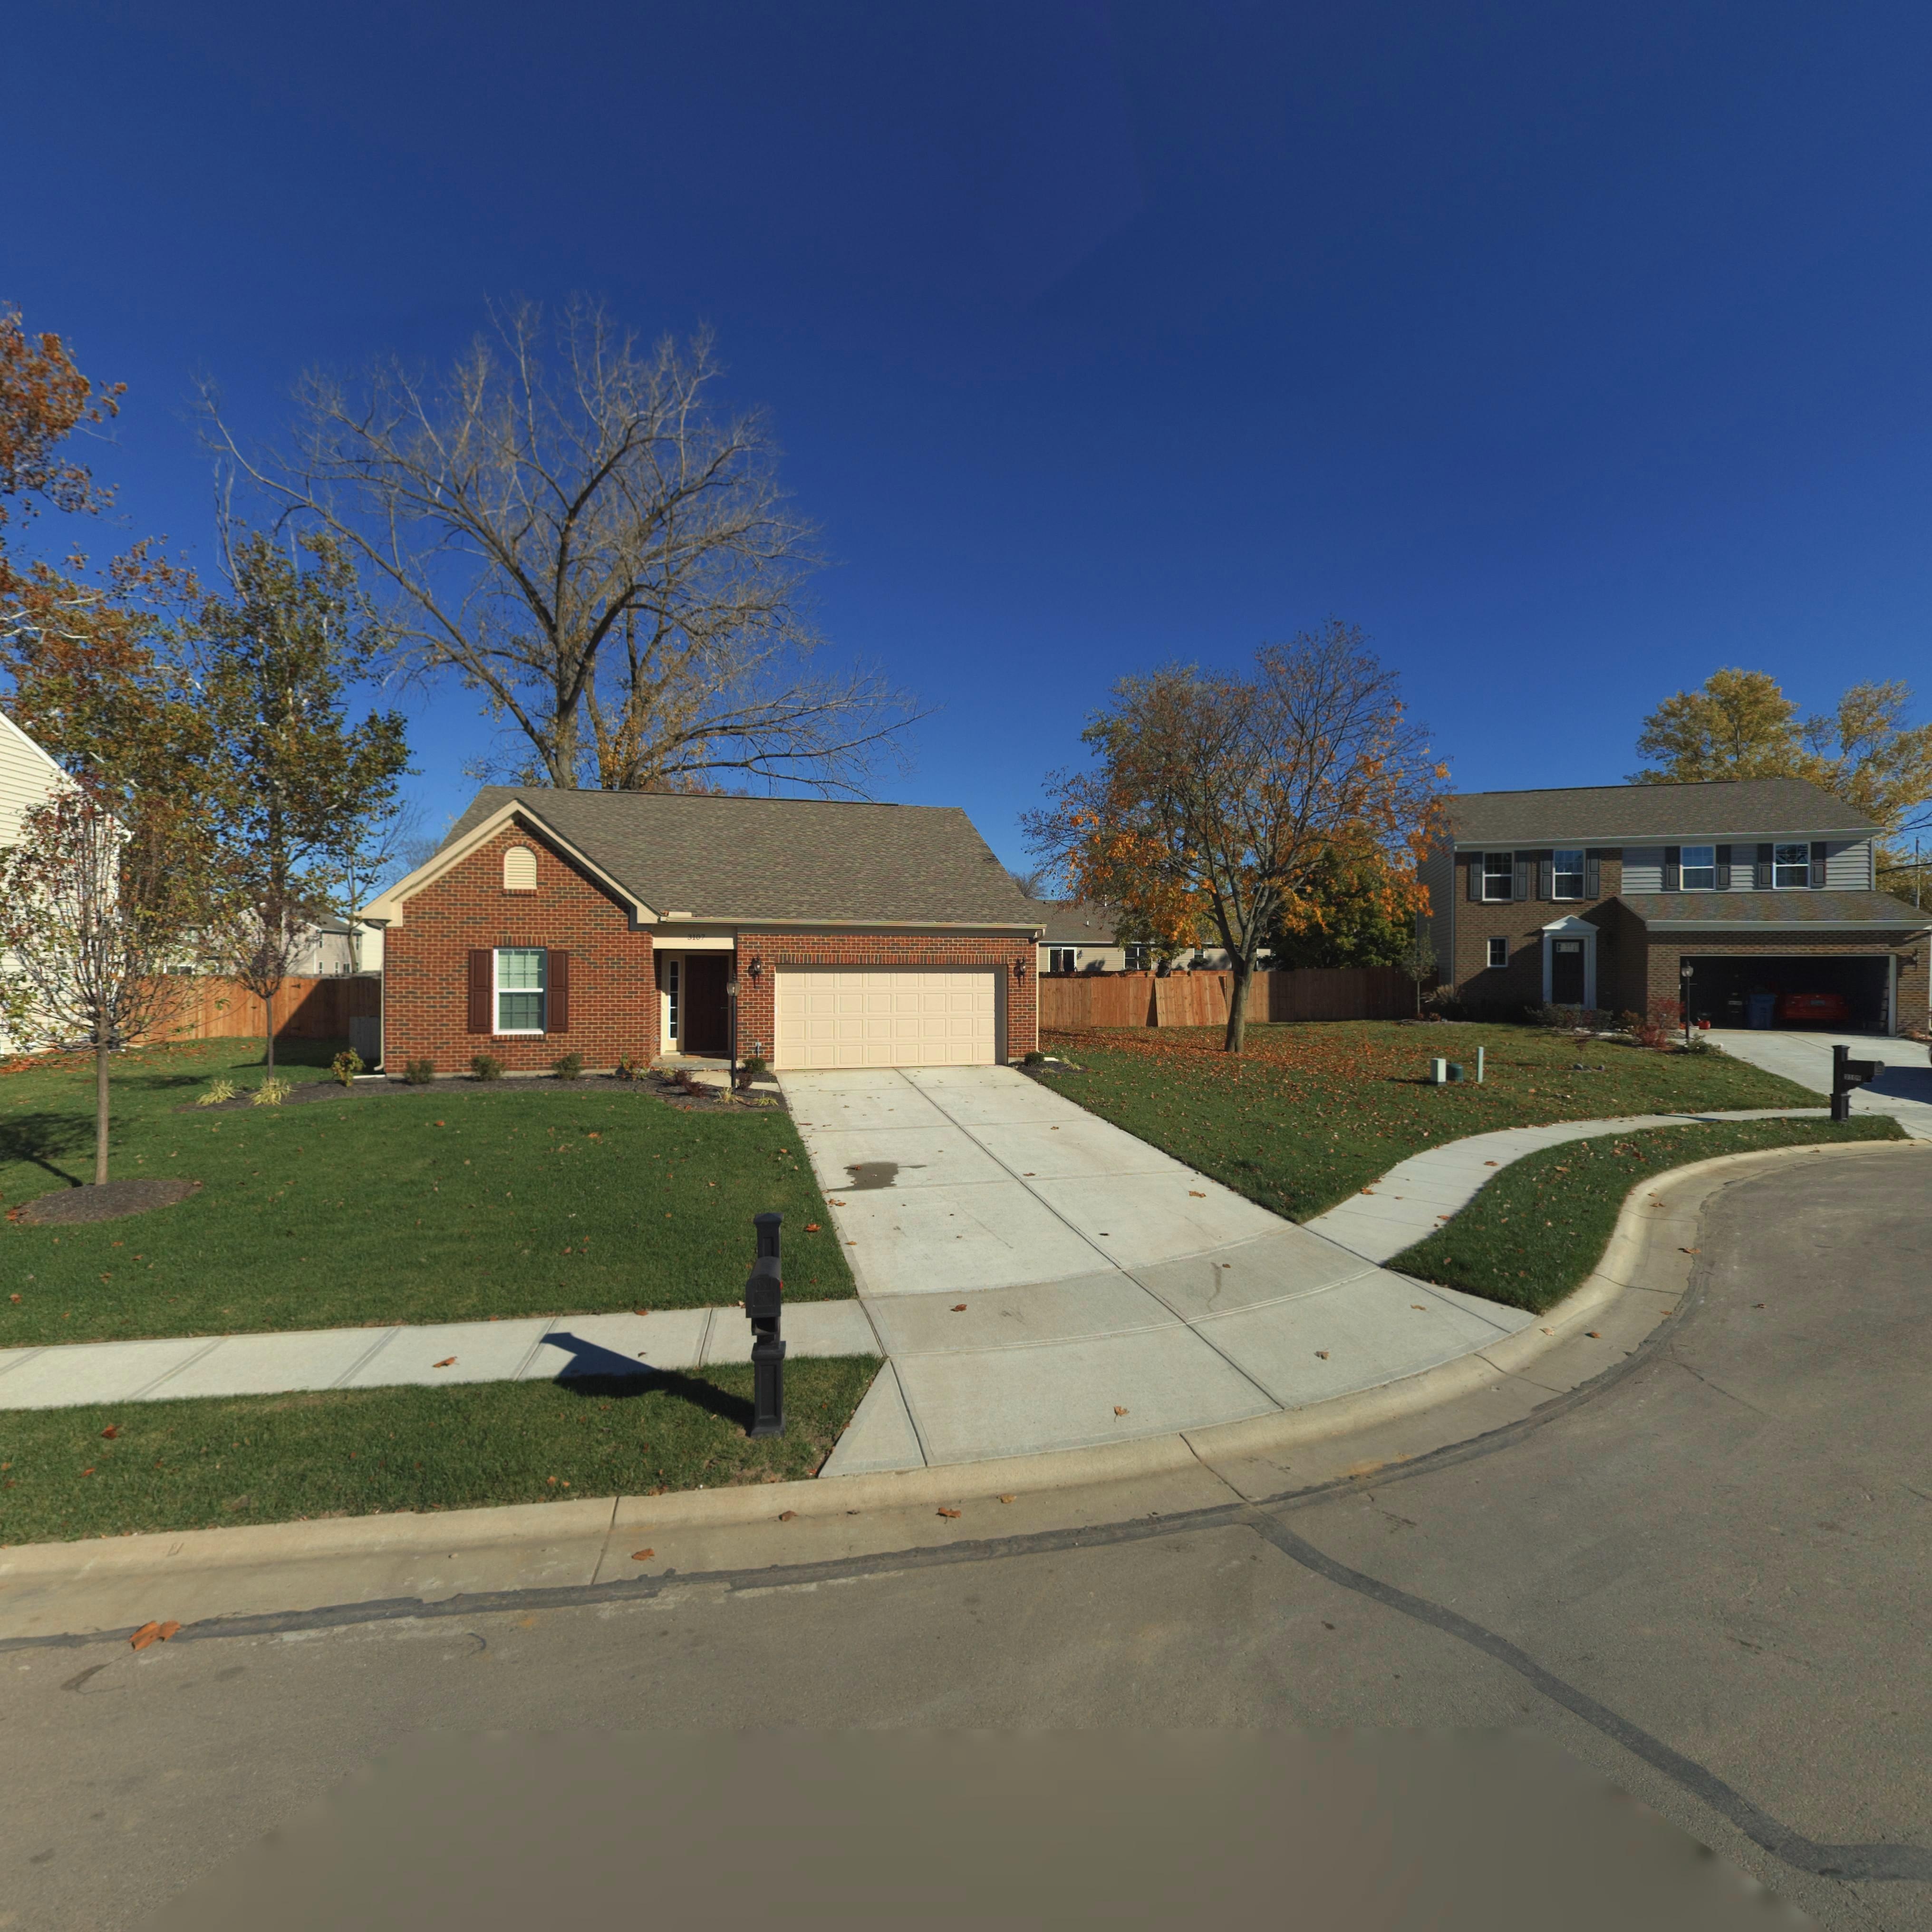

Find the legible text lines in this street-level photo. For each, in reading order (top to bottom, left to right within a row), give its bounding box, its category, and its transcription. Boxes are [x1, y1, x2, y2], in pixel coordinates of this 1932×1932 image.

[687, 934, 705, 941] StreetNumber: 3107
[1844, 1073, 1862, 1082] StreetNumber: 310*